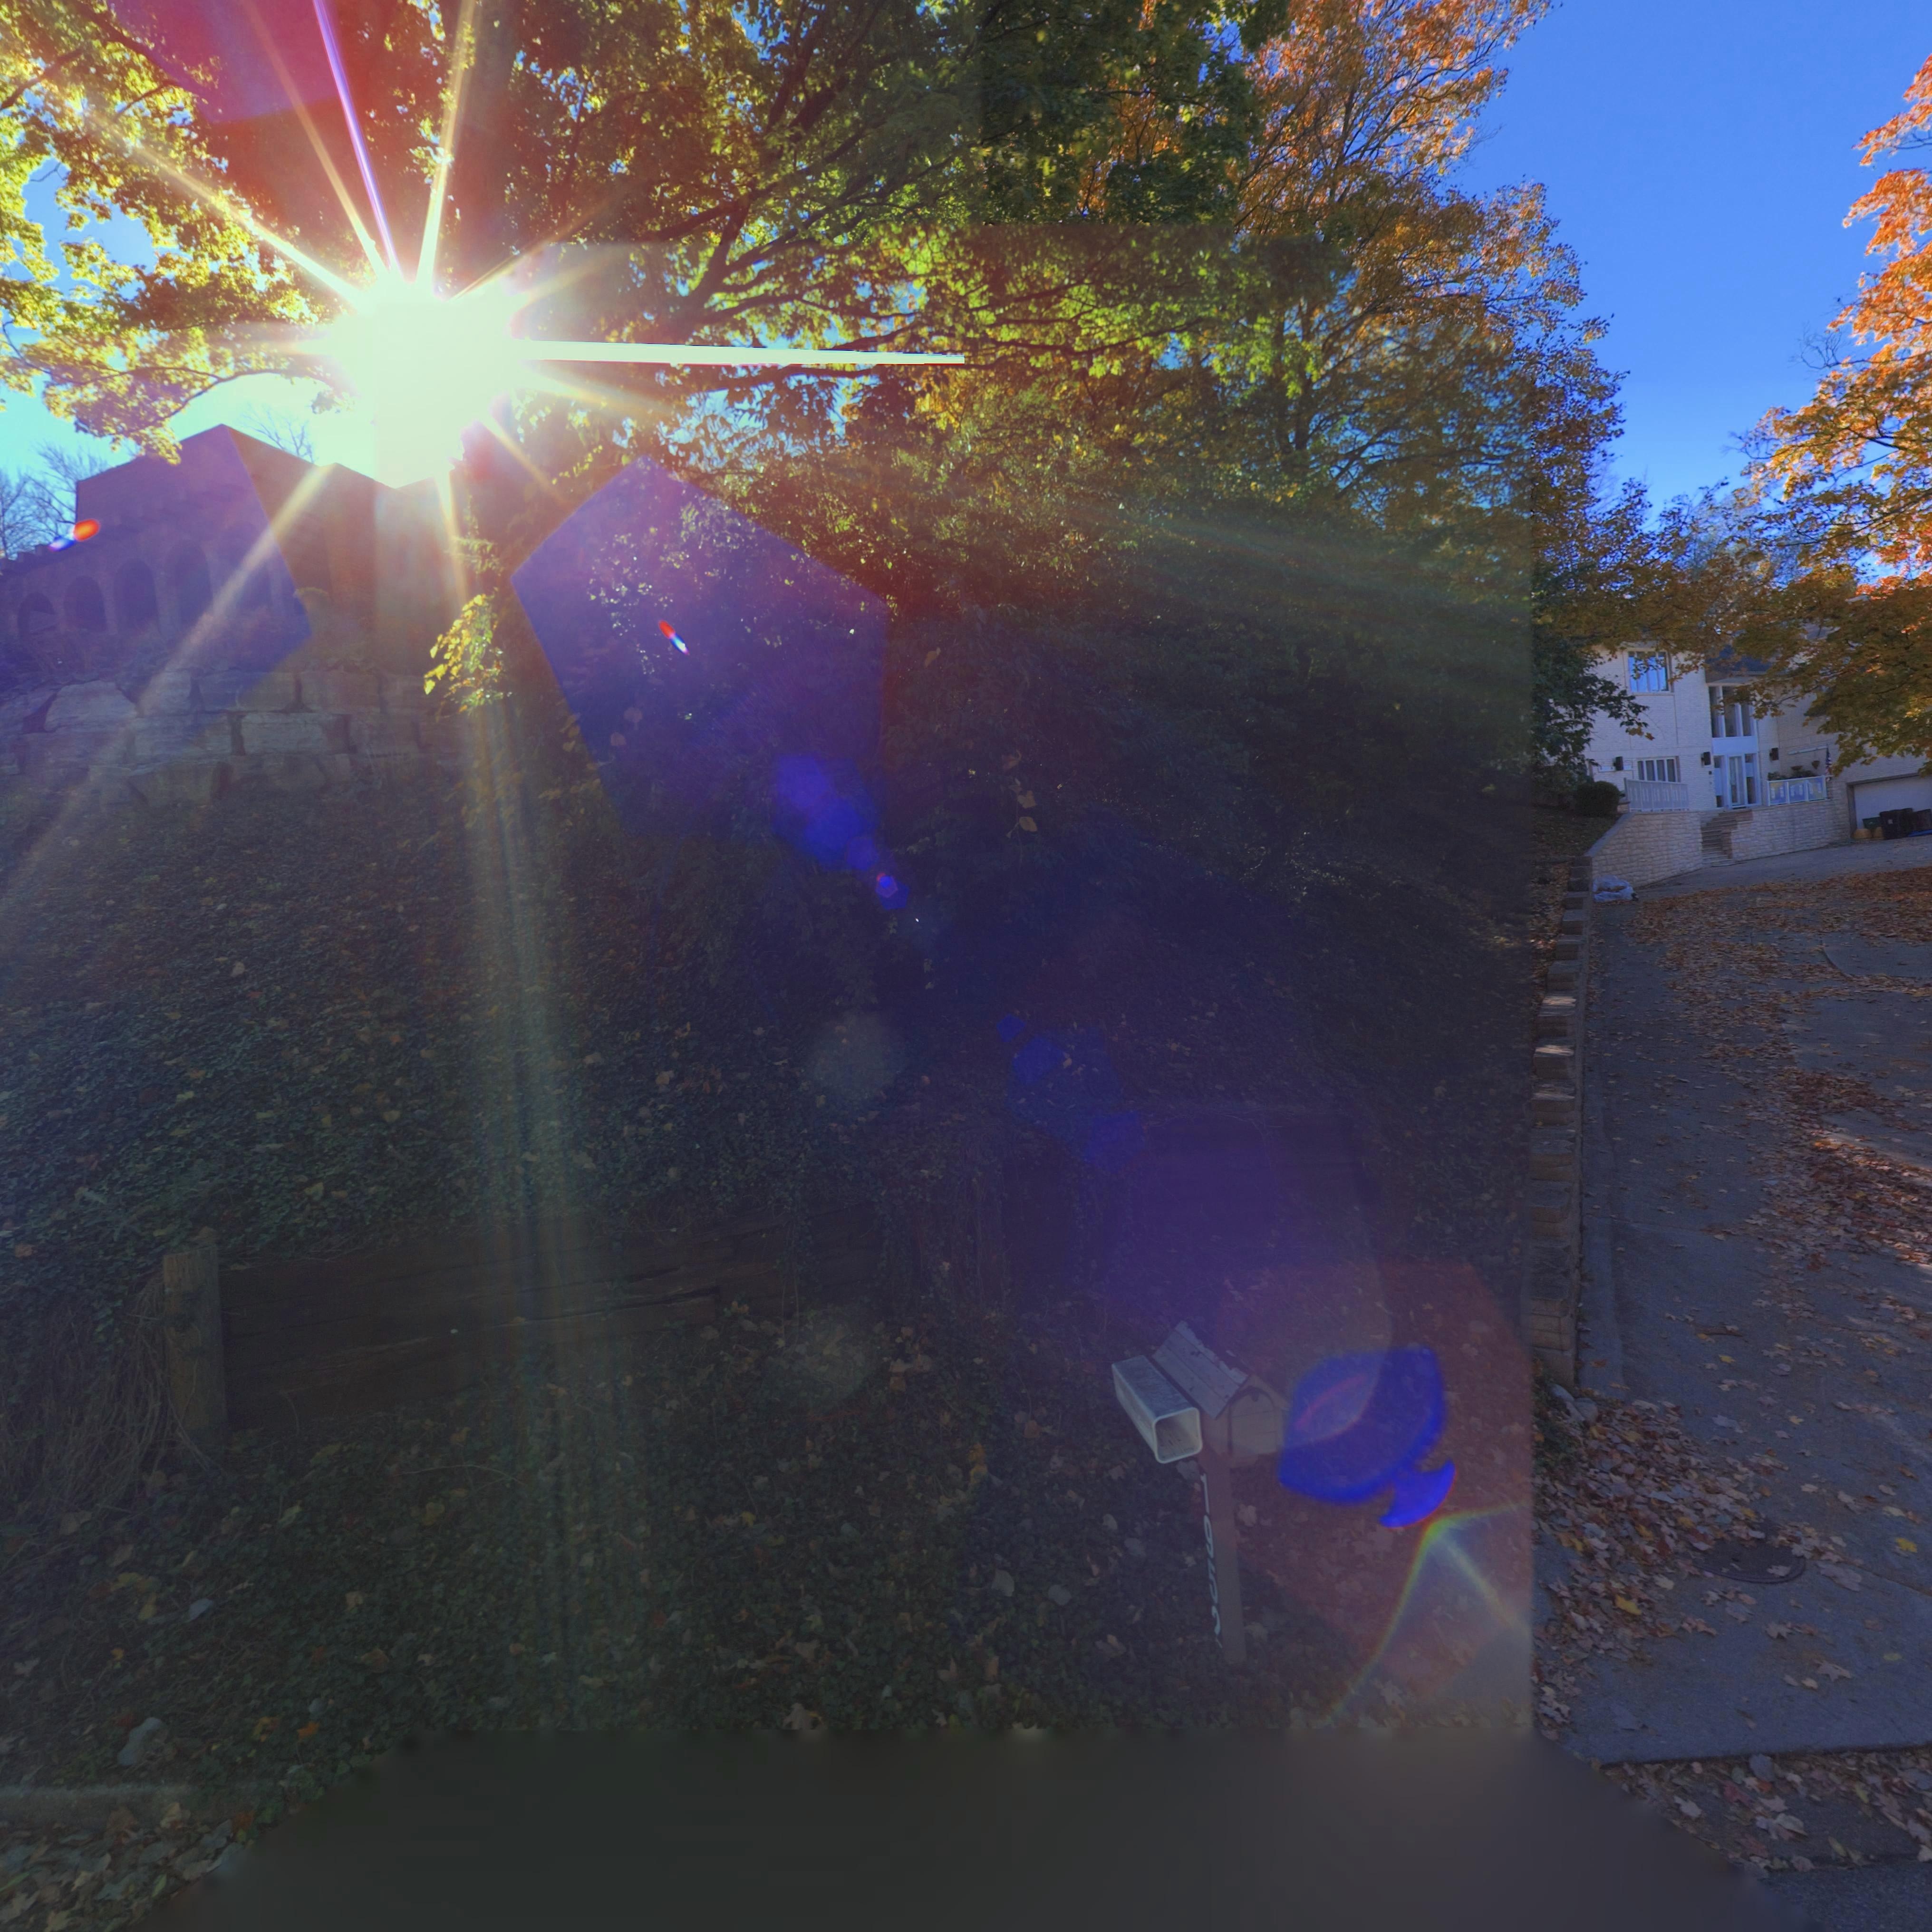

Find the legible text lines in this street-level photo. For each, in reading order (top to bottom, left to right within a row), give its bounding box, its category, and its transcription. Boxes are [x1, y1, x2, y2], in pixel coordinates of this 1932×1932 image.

[1199, 1465, 1224, 1653] StreetNumber: 1952